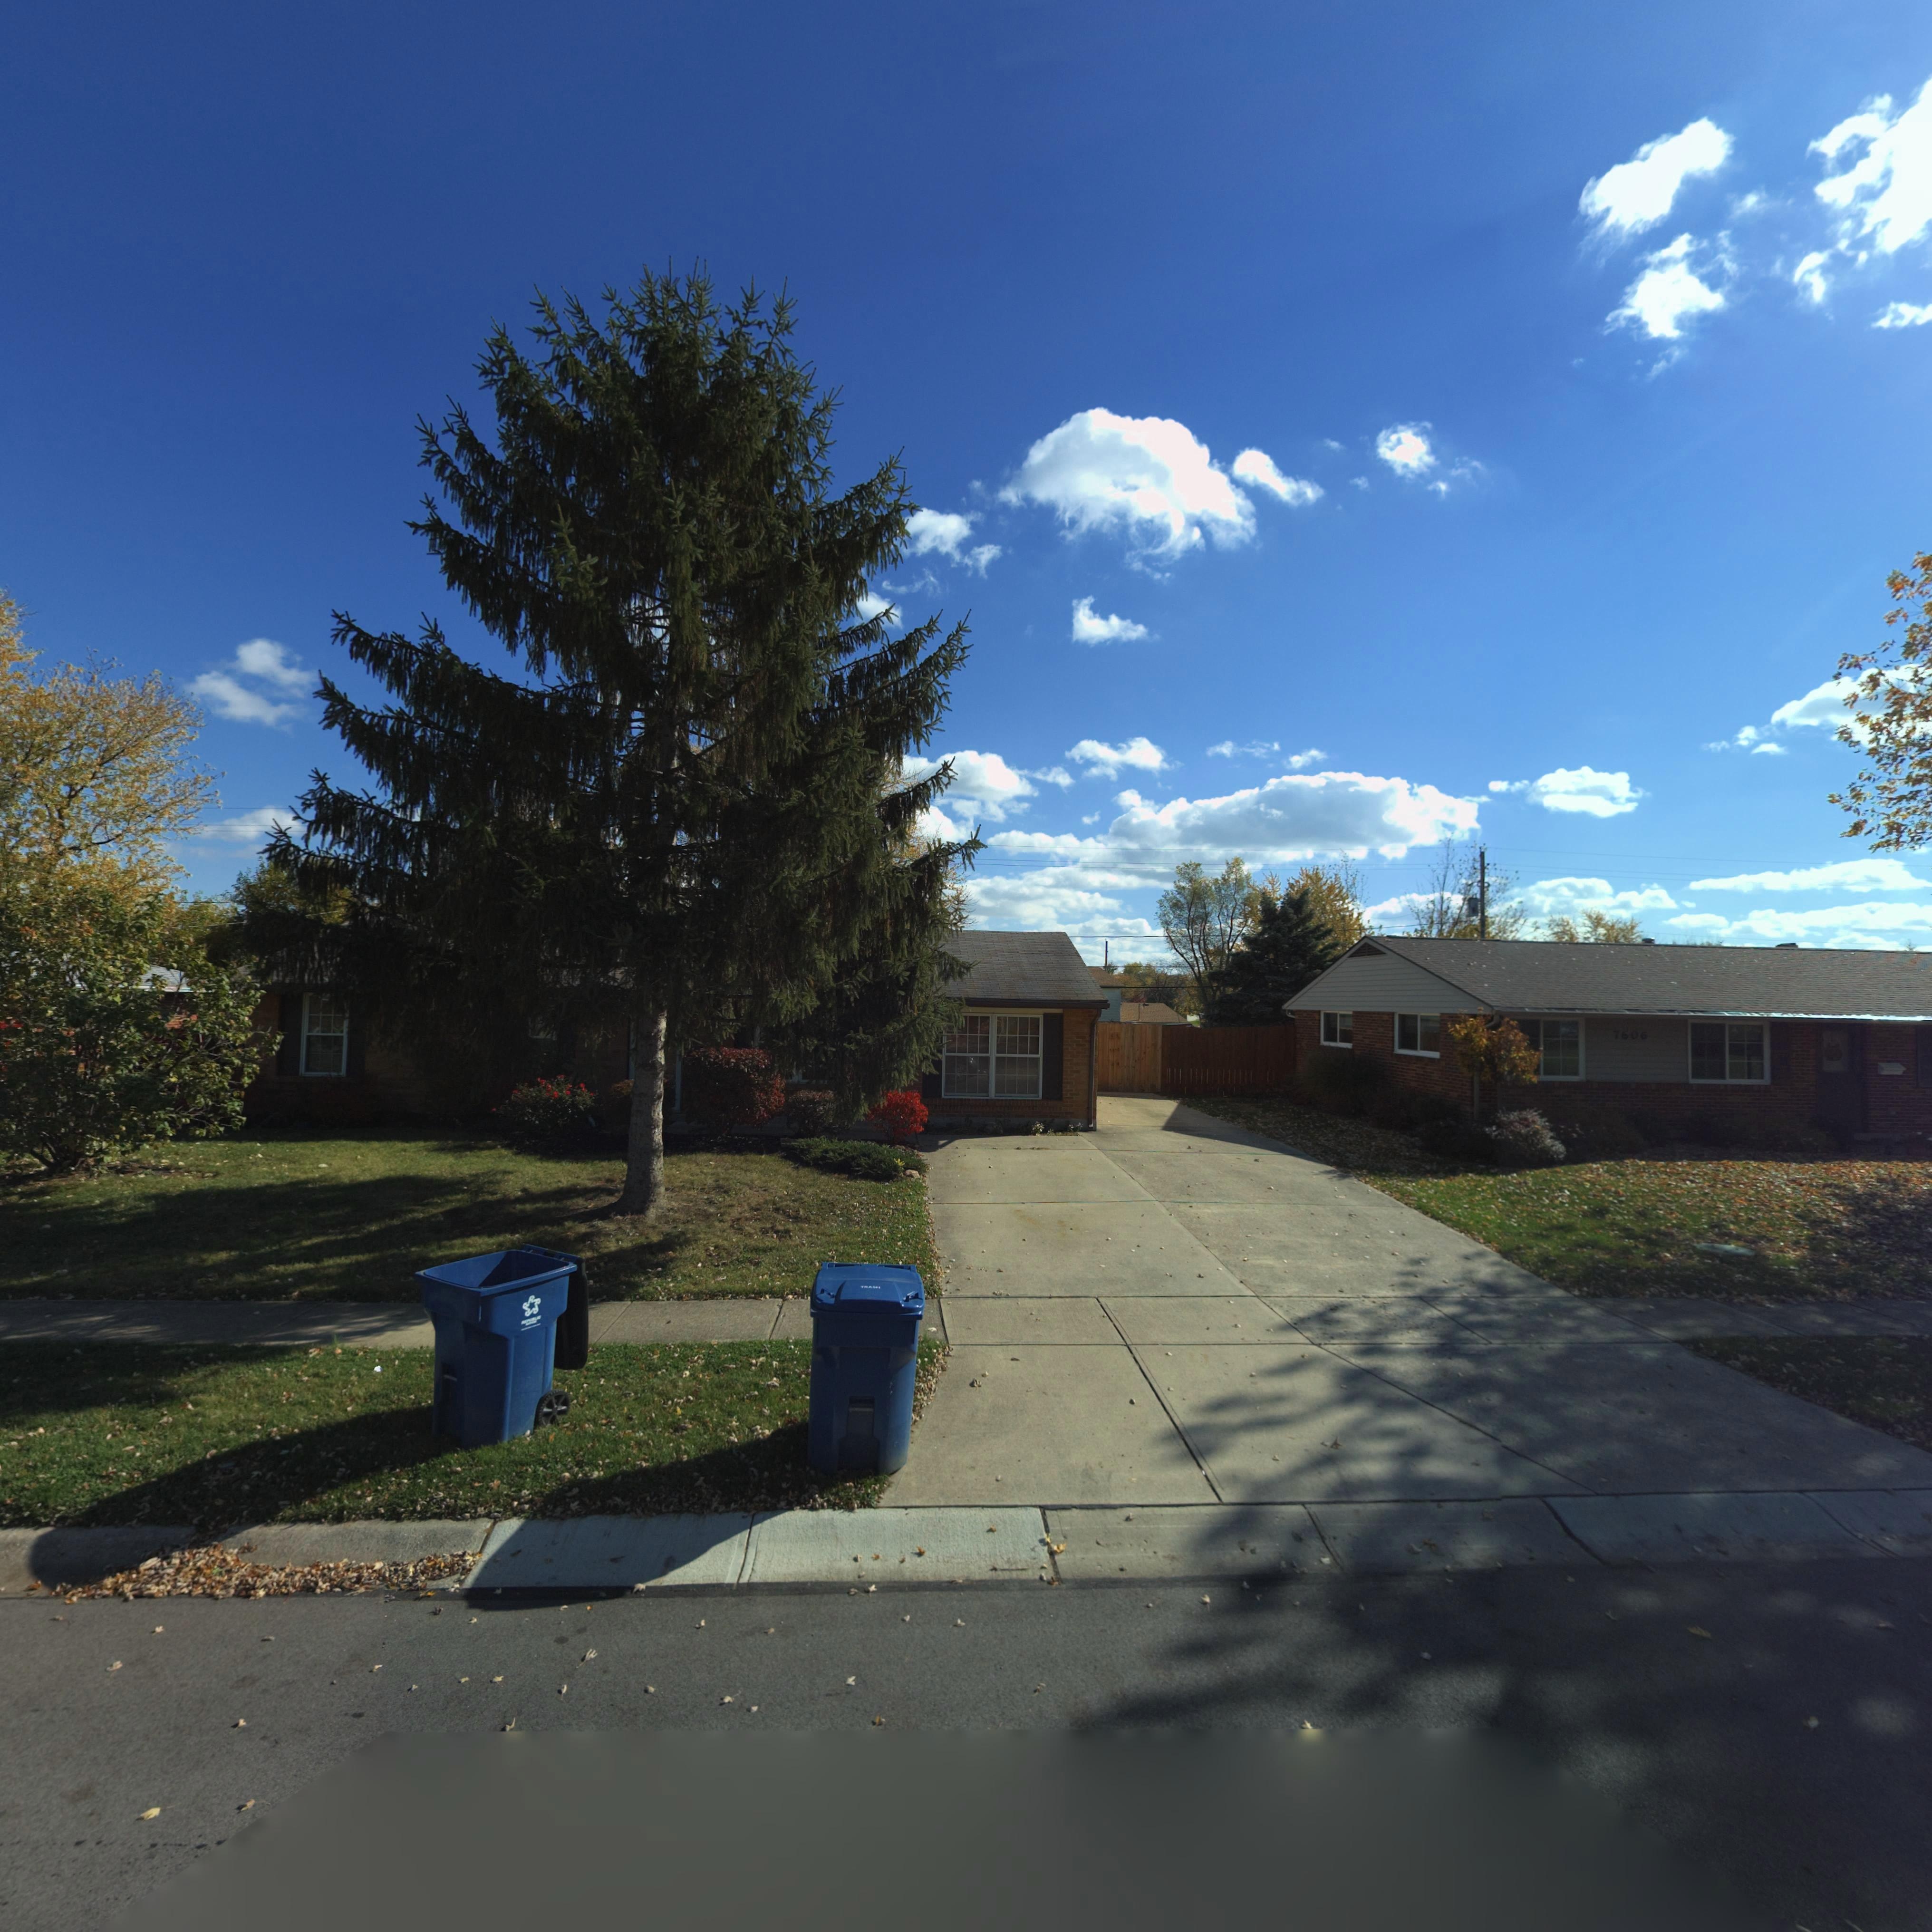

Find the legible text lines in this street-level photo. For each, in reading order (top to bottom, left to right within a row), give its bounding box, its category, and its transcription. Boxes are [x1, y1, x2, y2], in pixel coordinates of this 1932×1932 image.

[1612, 1029, 1650, 1041] StreetNumber: 7606